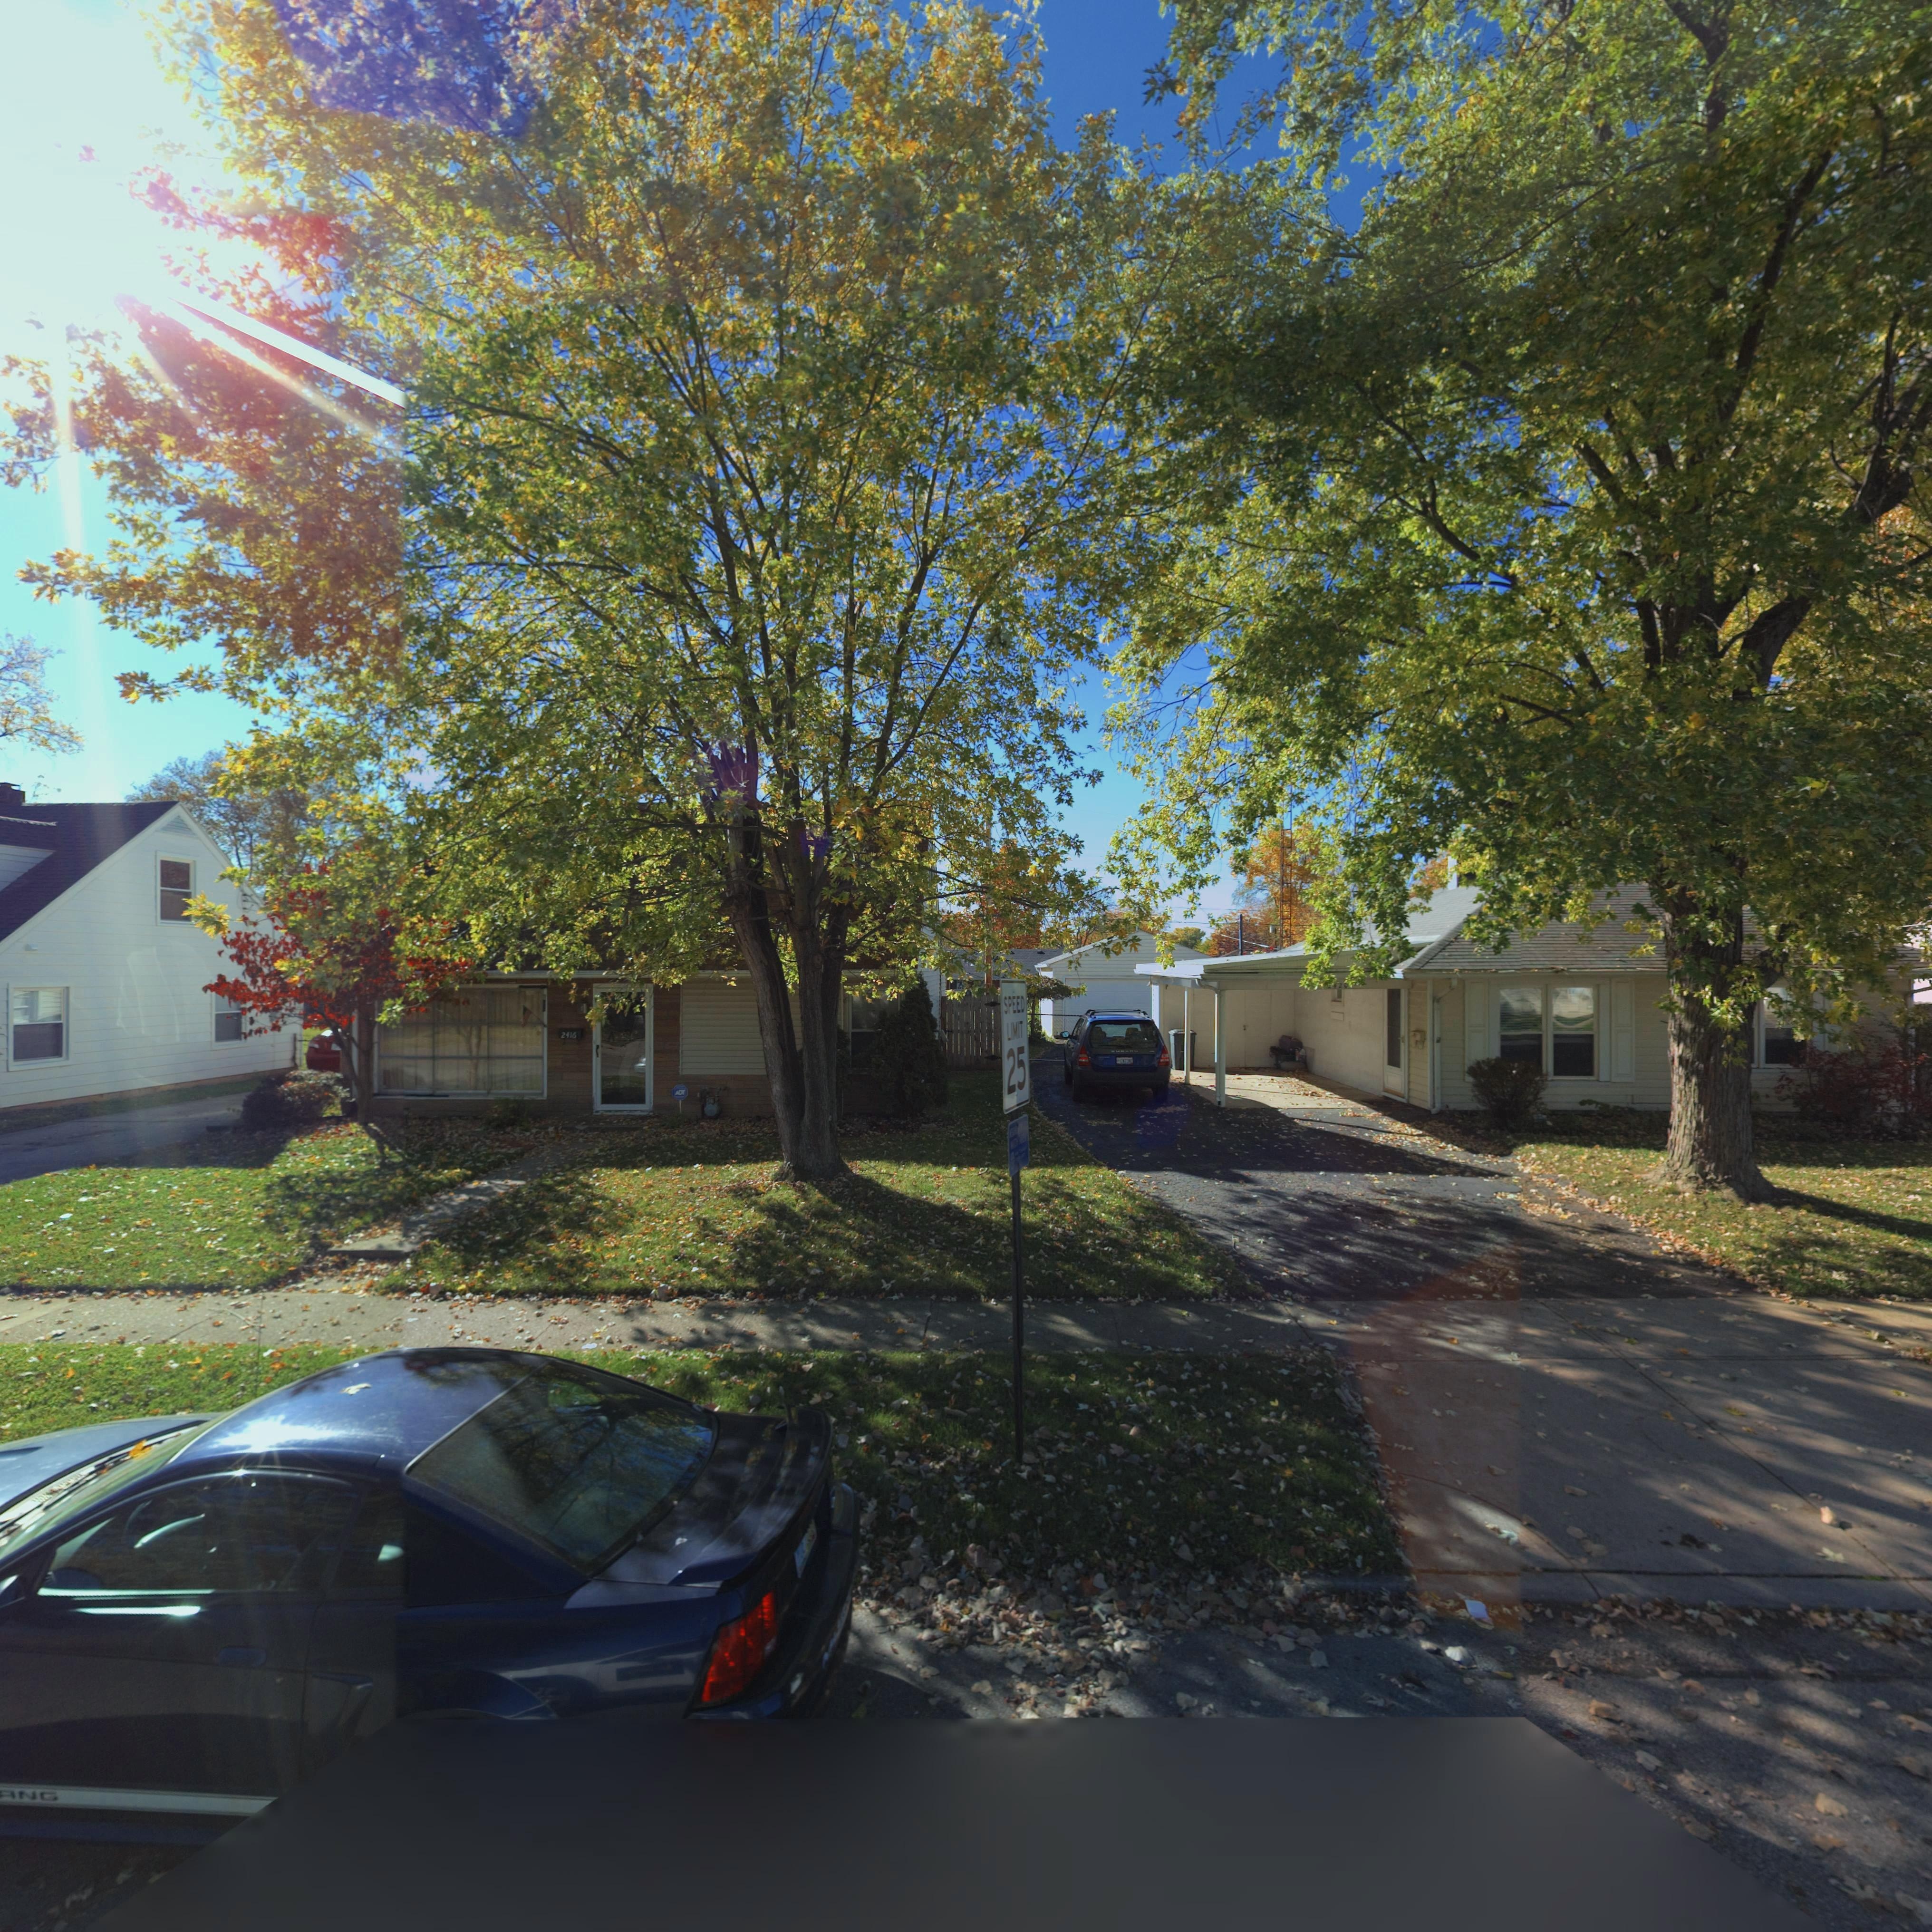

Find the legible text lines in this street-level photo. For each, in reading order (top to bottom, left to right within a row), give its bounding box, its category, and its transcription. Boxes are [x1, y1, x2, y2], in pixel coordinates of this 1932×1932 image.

[1332, 981, 1343, 989] StreetNumber: 42
[1003, 995, 1025, 1015] None: SPEED
[1006, 1019, 1024, 1042] None: LIMIT
[560, 1031, 578, 1040] StreetNumber: 2416
[1110, 1049, 1139, 1053] None: SUBARU
[1120, 1058, 1130, 1064] None: EN73
[1006, 1044, 1027, 1097] None: 25
[674, 1090, 686, 1096] None: ADT